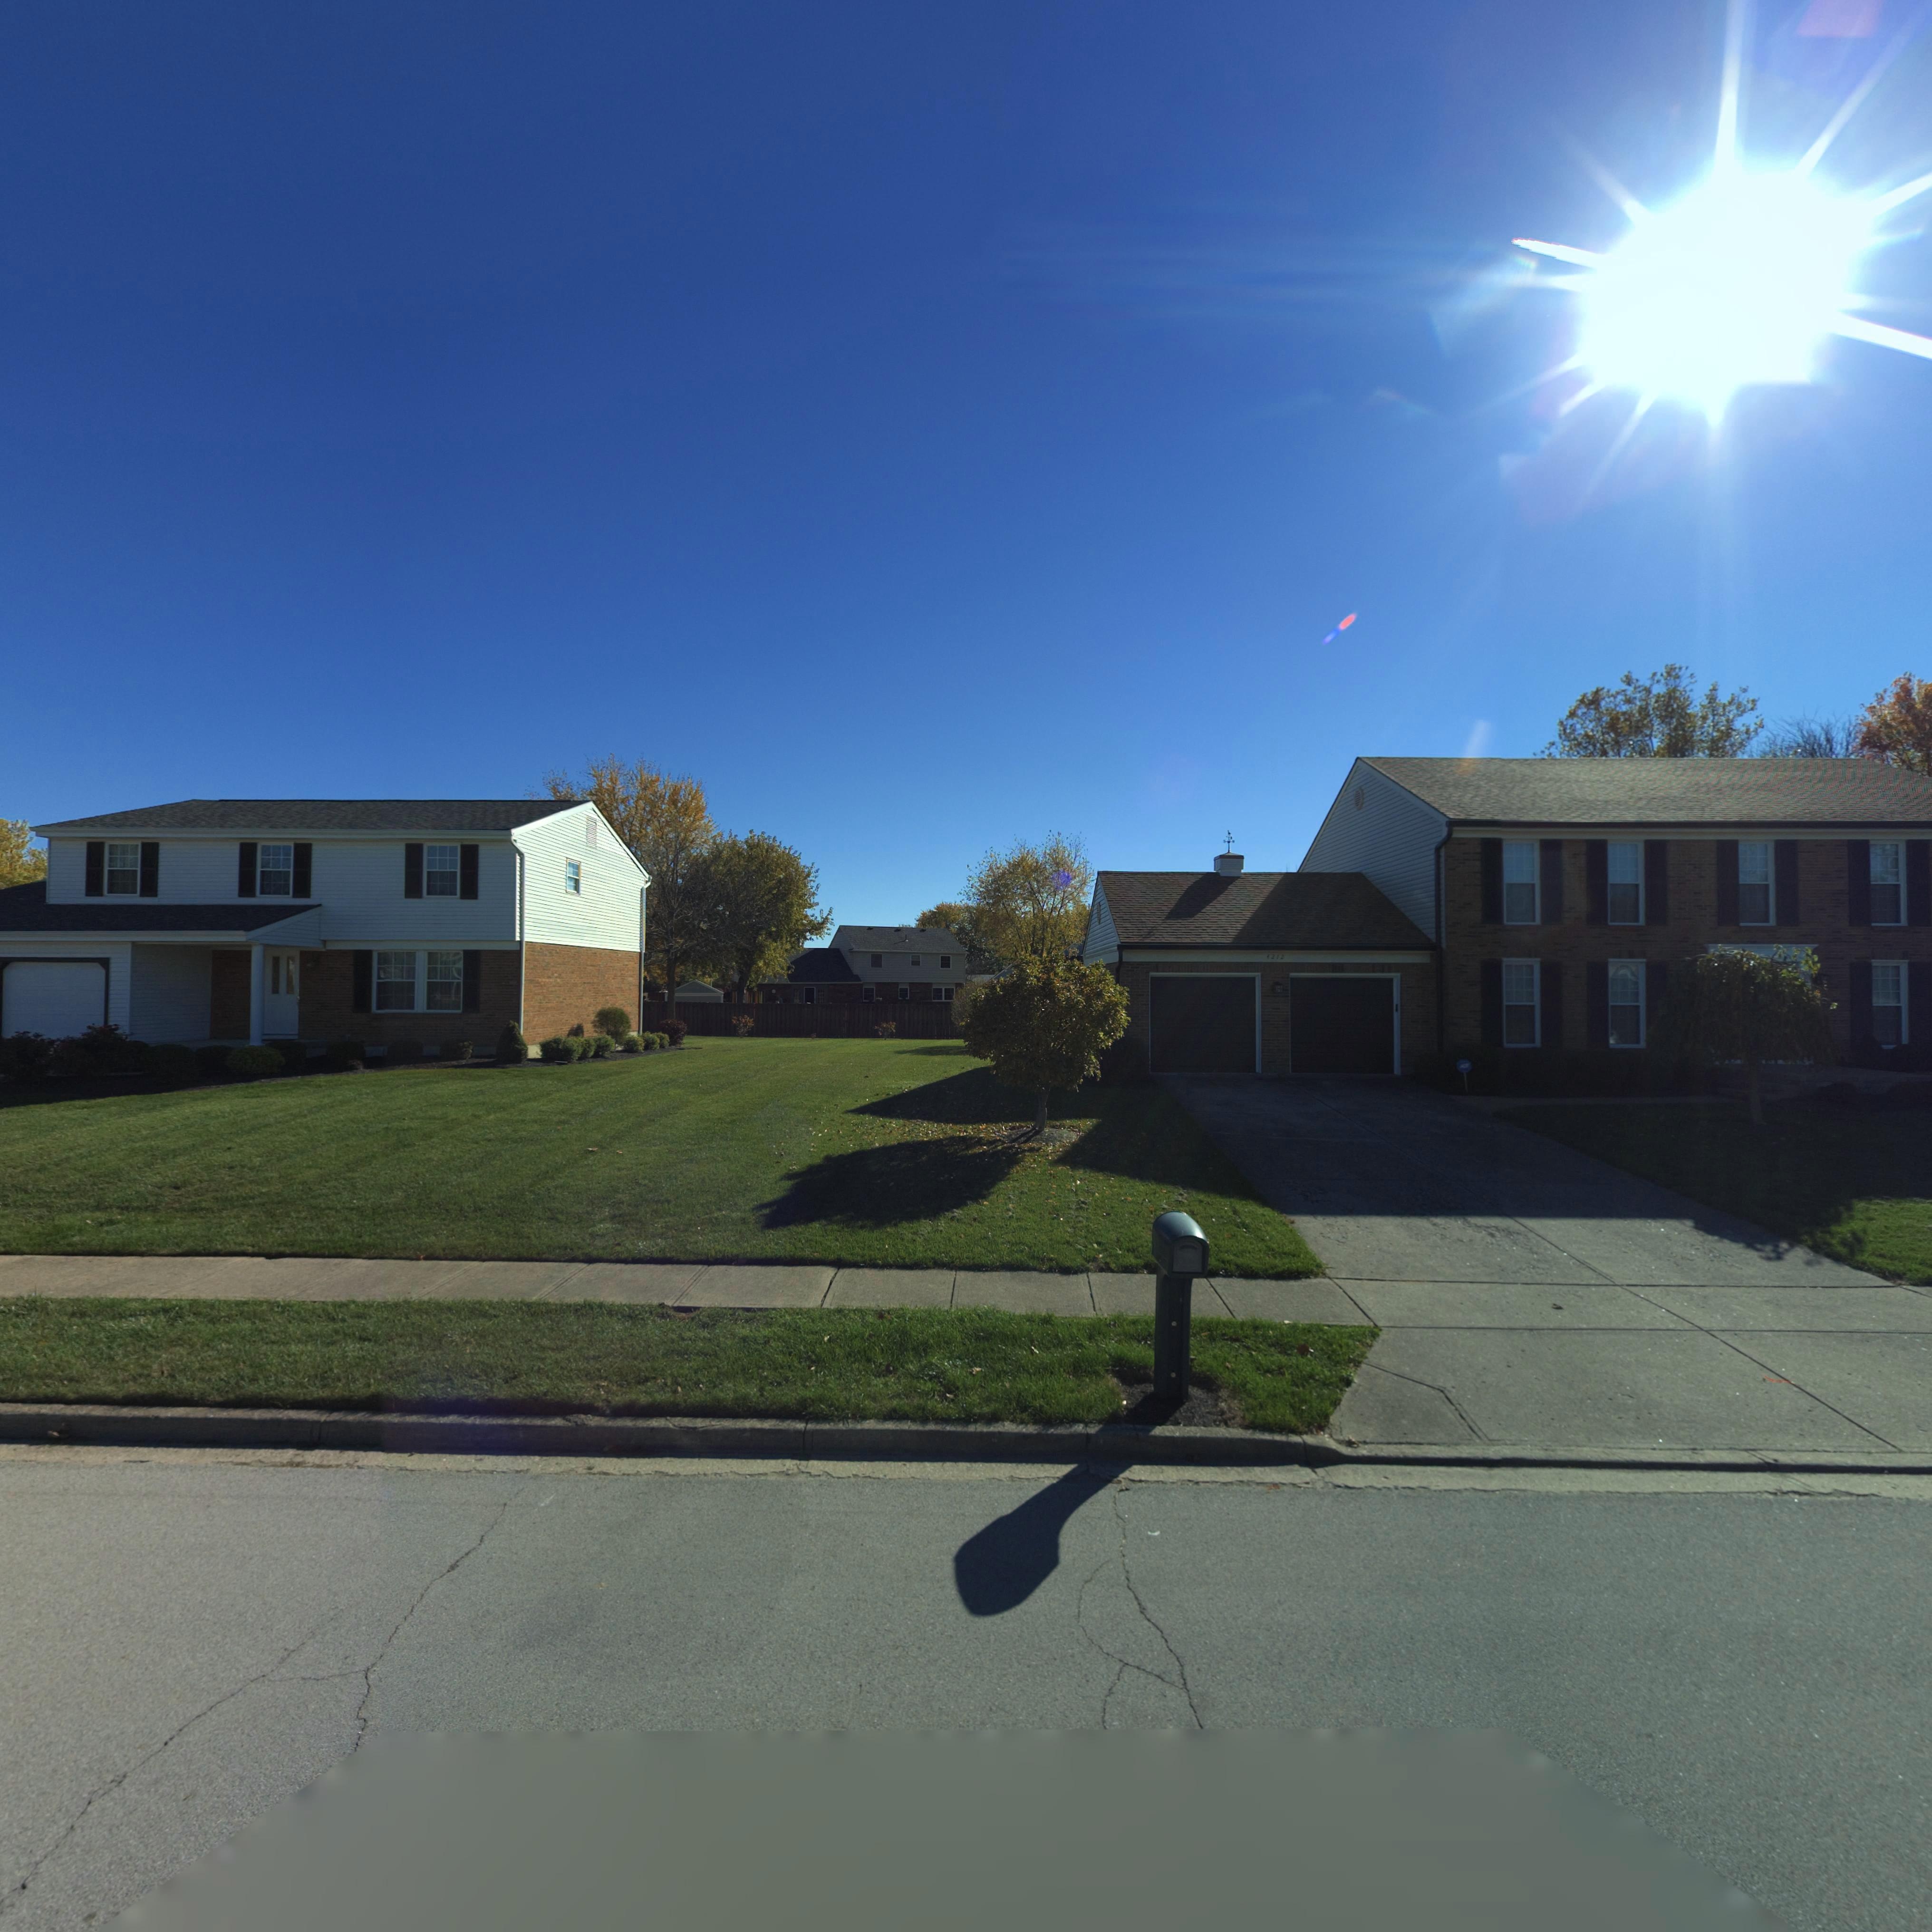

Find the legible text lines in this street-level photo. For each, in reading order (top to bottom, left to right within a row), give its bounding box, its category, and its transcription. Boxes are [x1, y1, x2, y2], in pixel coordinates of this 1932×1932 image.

[1265, 953, 1285, 961] StreetNumber: 4212